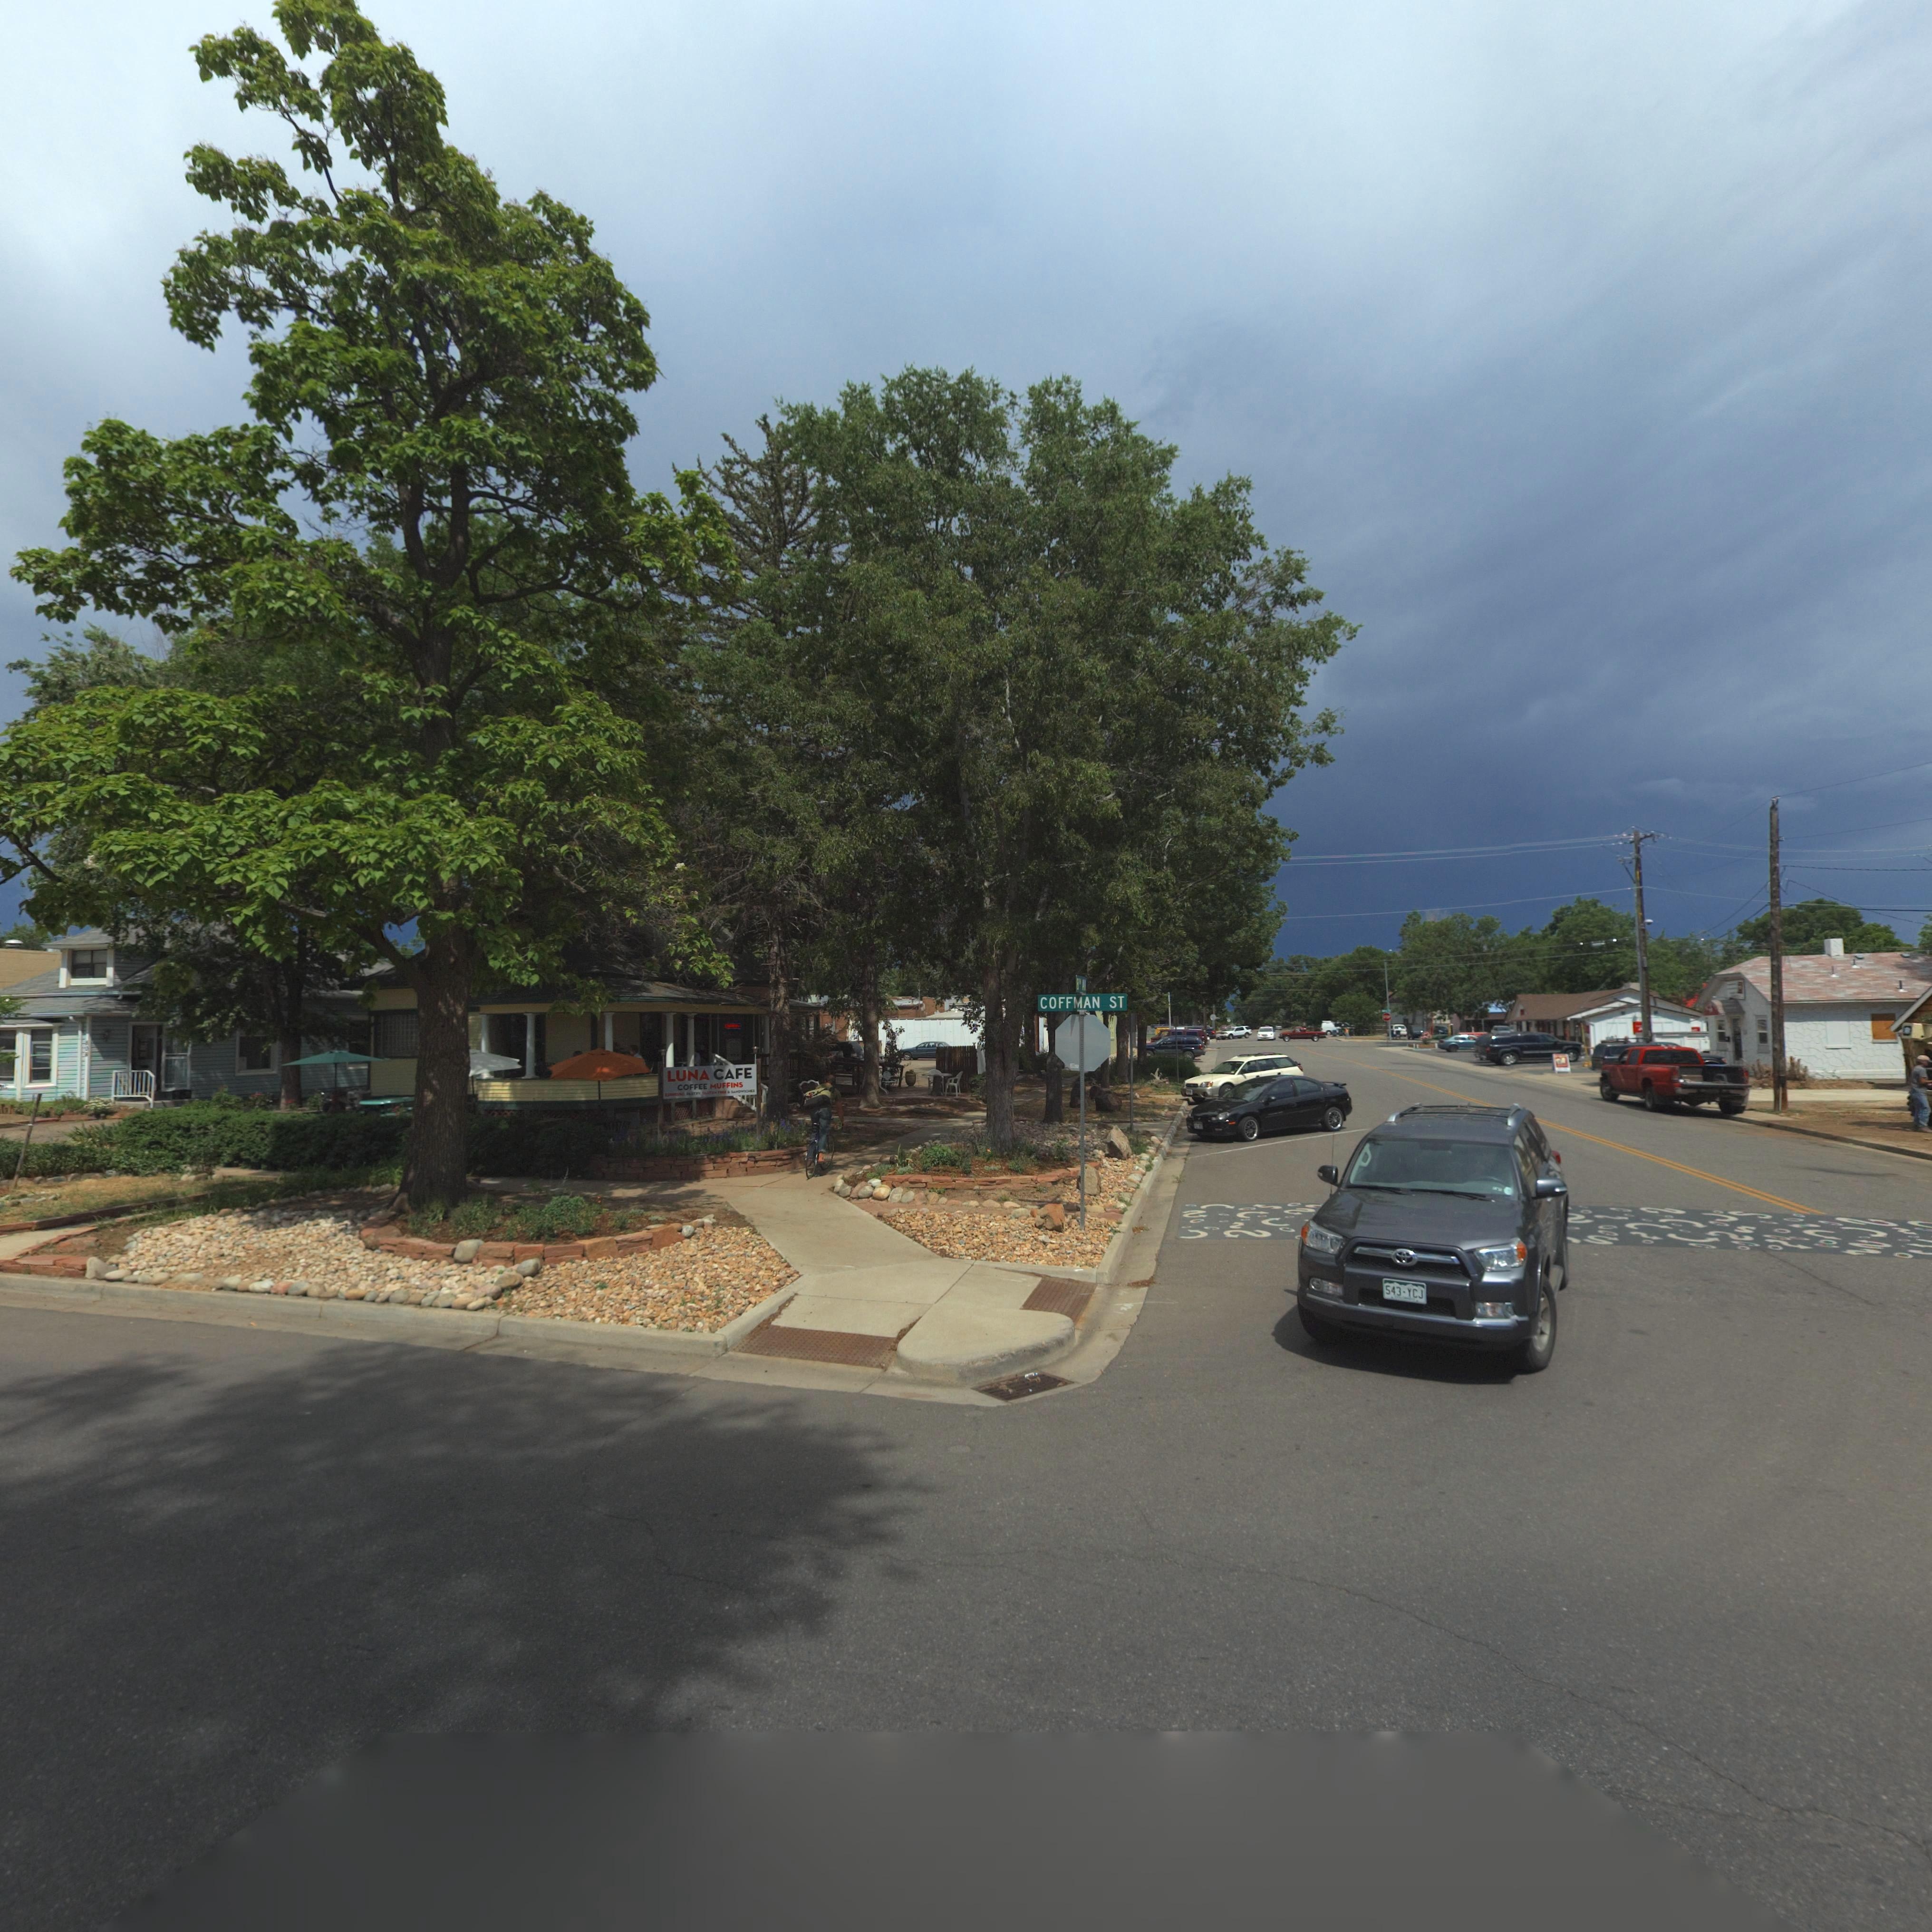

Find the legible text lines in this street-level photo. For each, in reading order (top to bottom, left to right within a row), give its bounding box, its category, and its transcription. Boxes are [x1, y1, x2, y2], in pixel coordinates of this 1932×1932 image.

[1076, 977, 1086, 991] StreetName: 8** AV
[1040, 995, 1125, 1009] StreetName: COFFMAN ST
[667, 1067, 752, 1082] BusinessName: LUNA CAFE